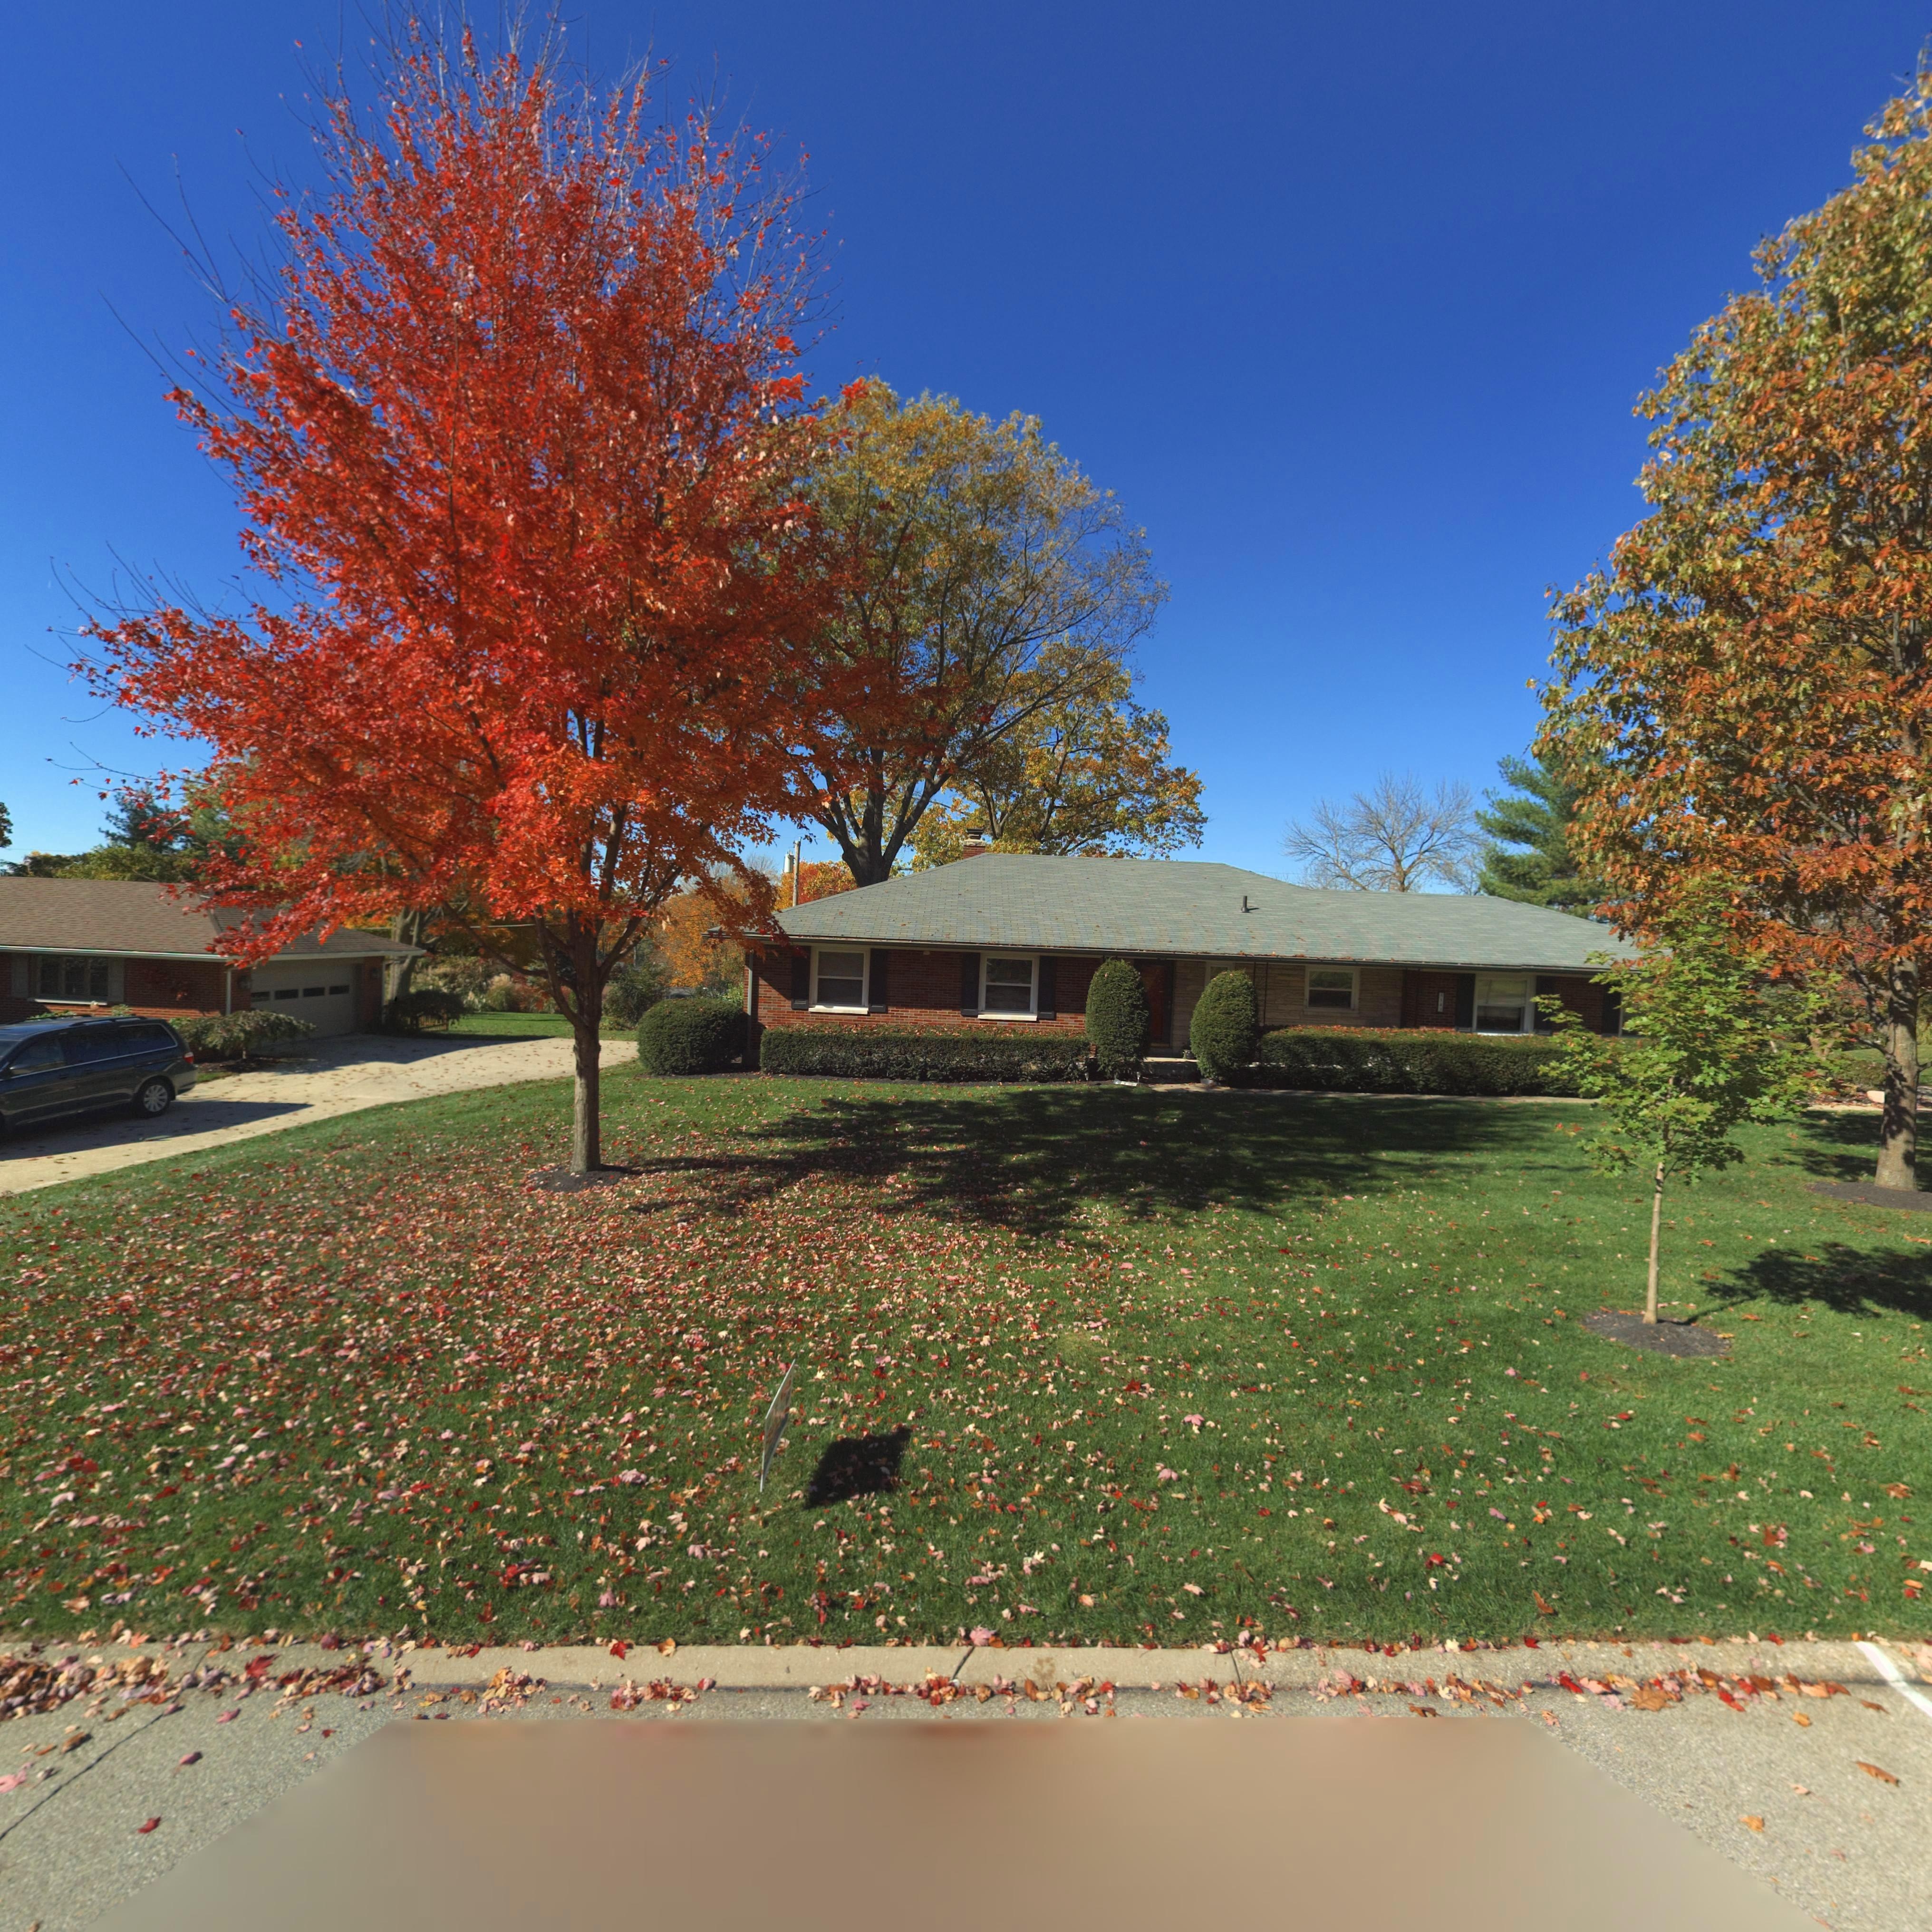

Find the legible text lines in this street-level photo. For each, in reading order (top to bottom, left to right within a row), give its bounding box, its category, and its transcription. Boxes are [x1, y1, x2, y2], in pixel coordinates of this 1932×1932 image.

[1438, 992, 1444, 1012] StreetNumber: **4*